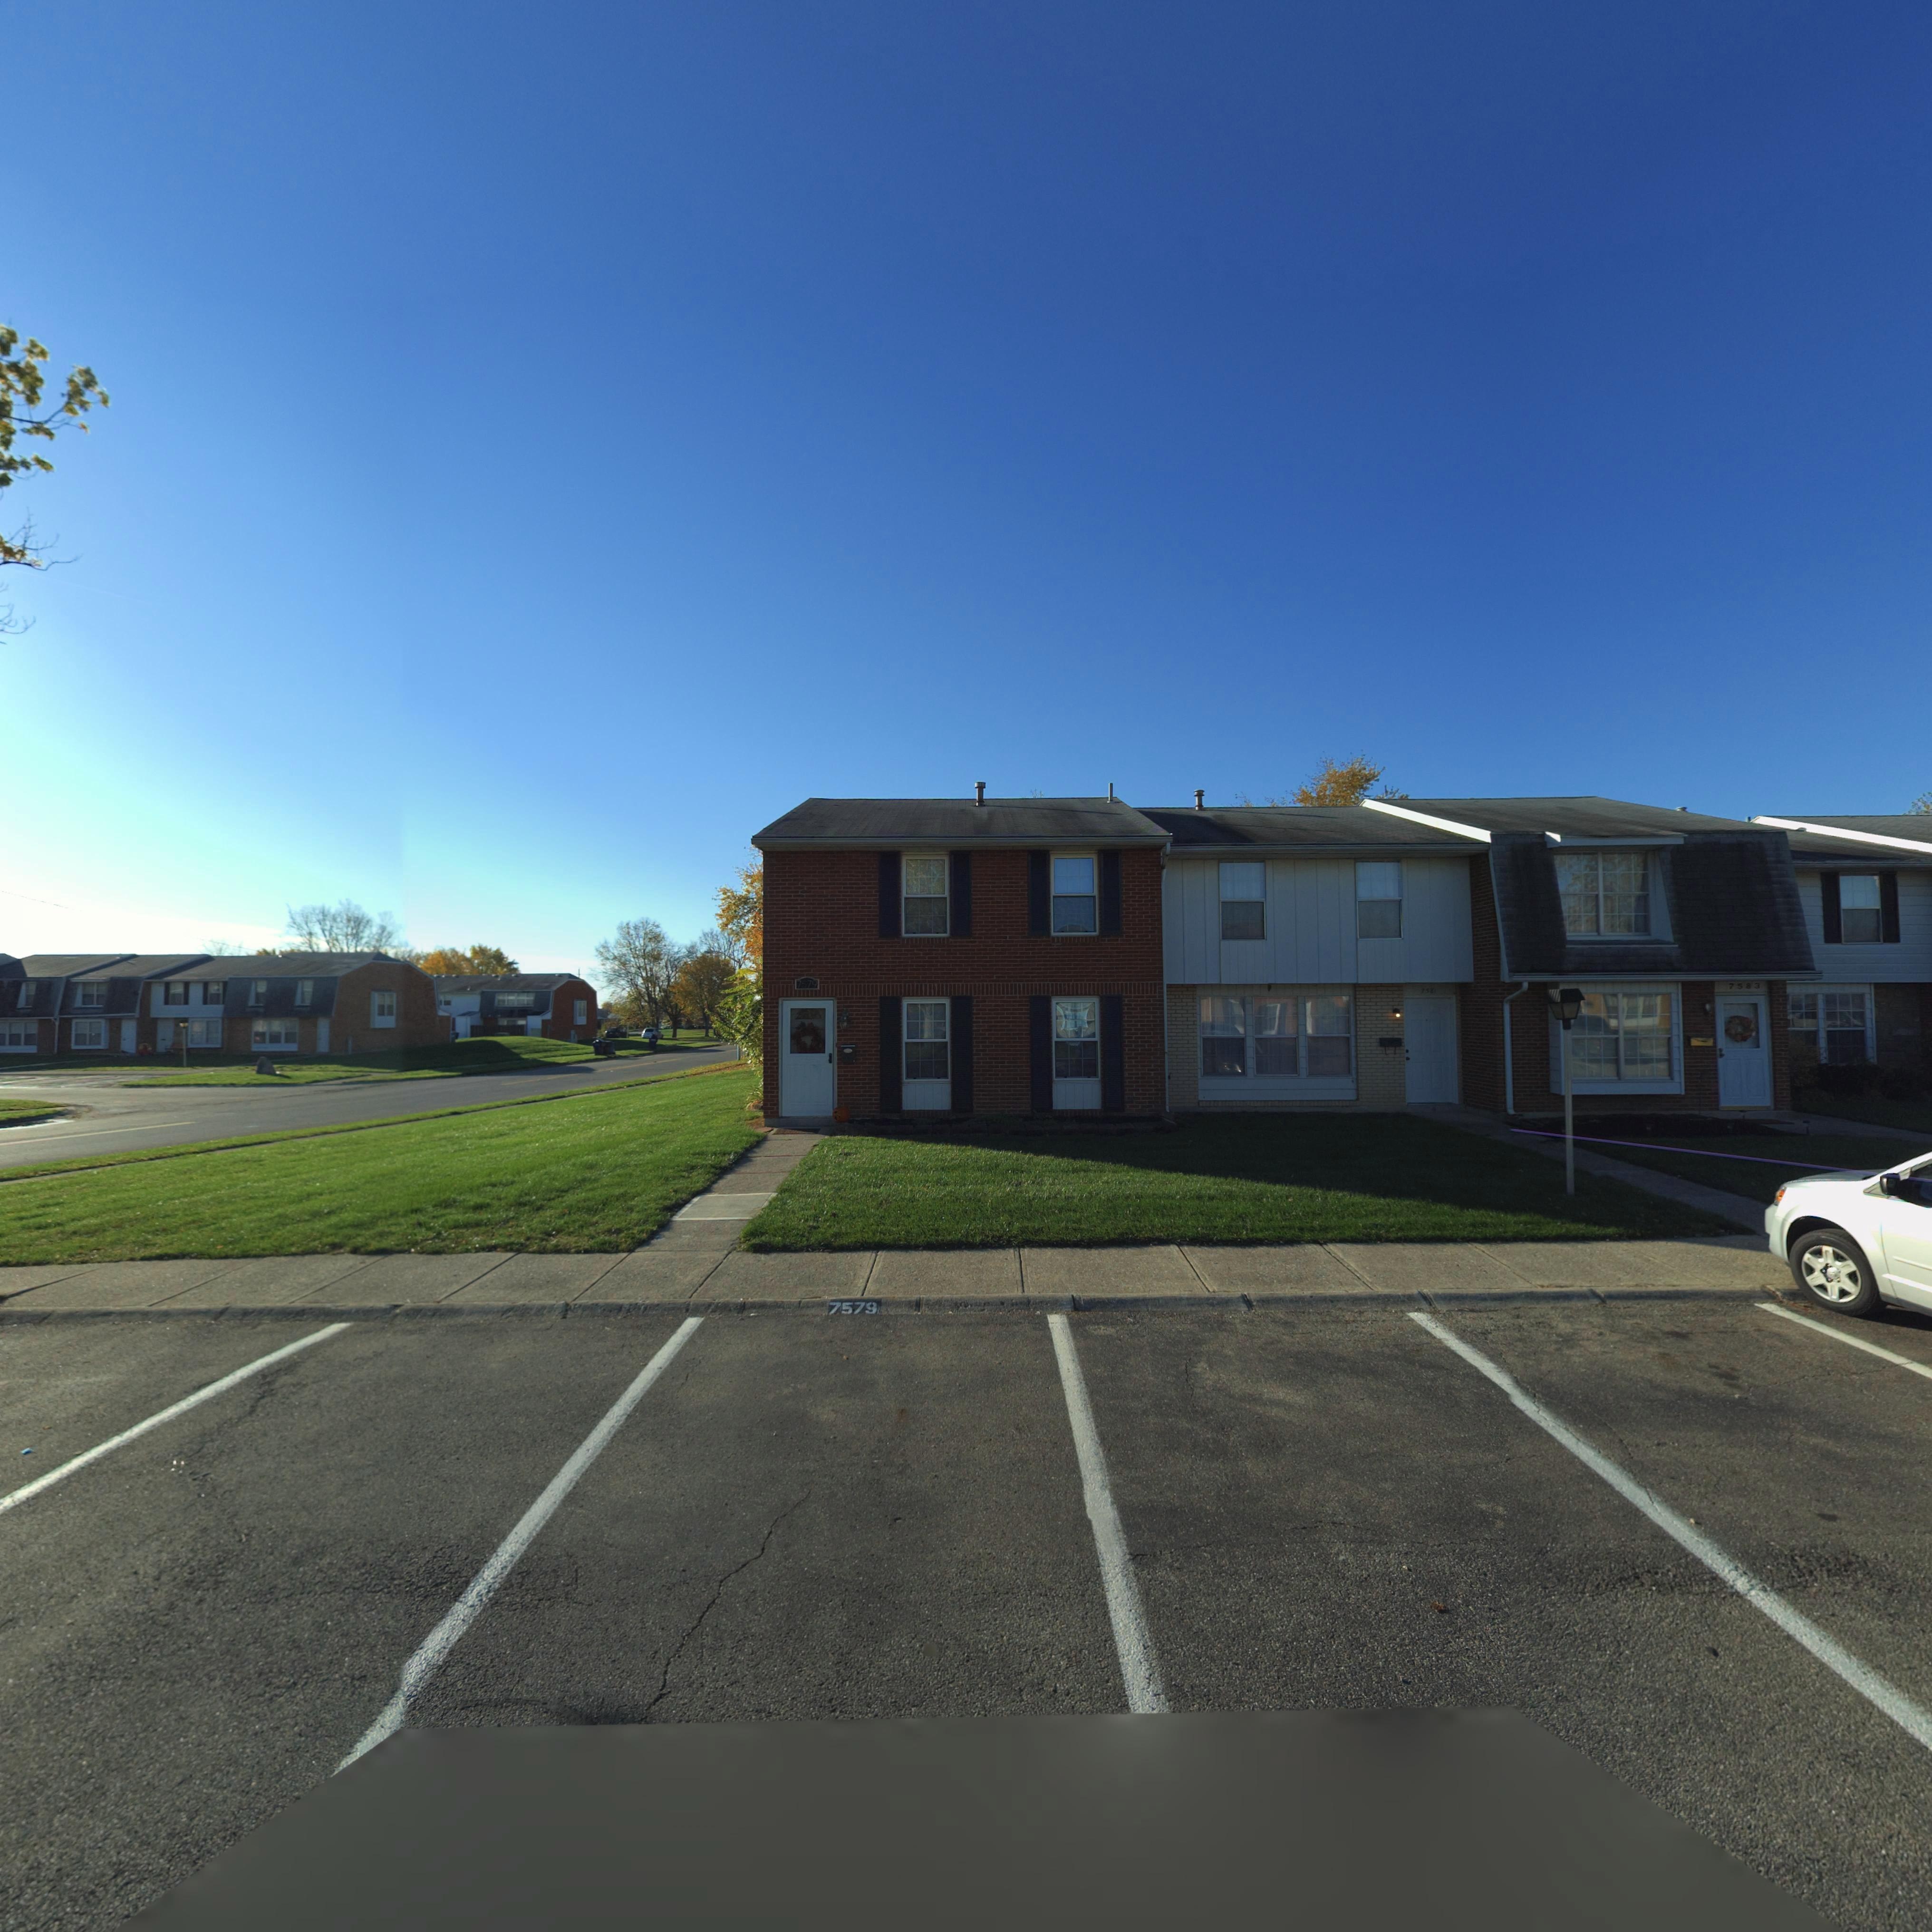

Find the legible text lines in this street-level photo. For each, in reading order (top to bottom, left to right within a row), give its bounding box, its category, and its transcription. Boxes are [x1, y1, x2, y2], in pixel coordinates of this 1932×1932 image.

[796, 980, 818, 989] StreetNumber: 7579
[1728, 982, 1761, 990] StreetNumber: 7583
[1420, 988, 1437, 994] StreetNumber: 7581
[827, 1301, 878, 1315] StreetNumber: 7579